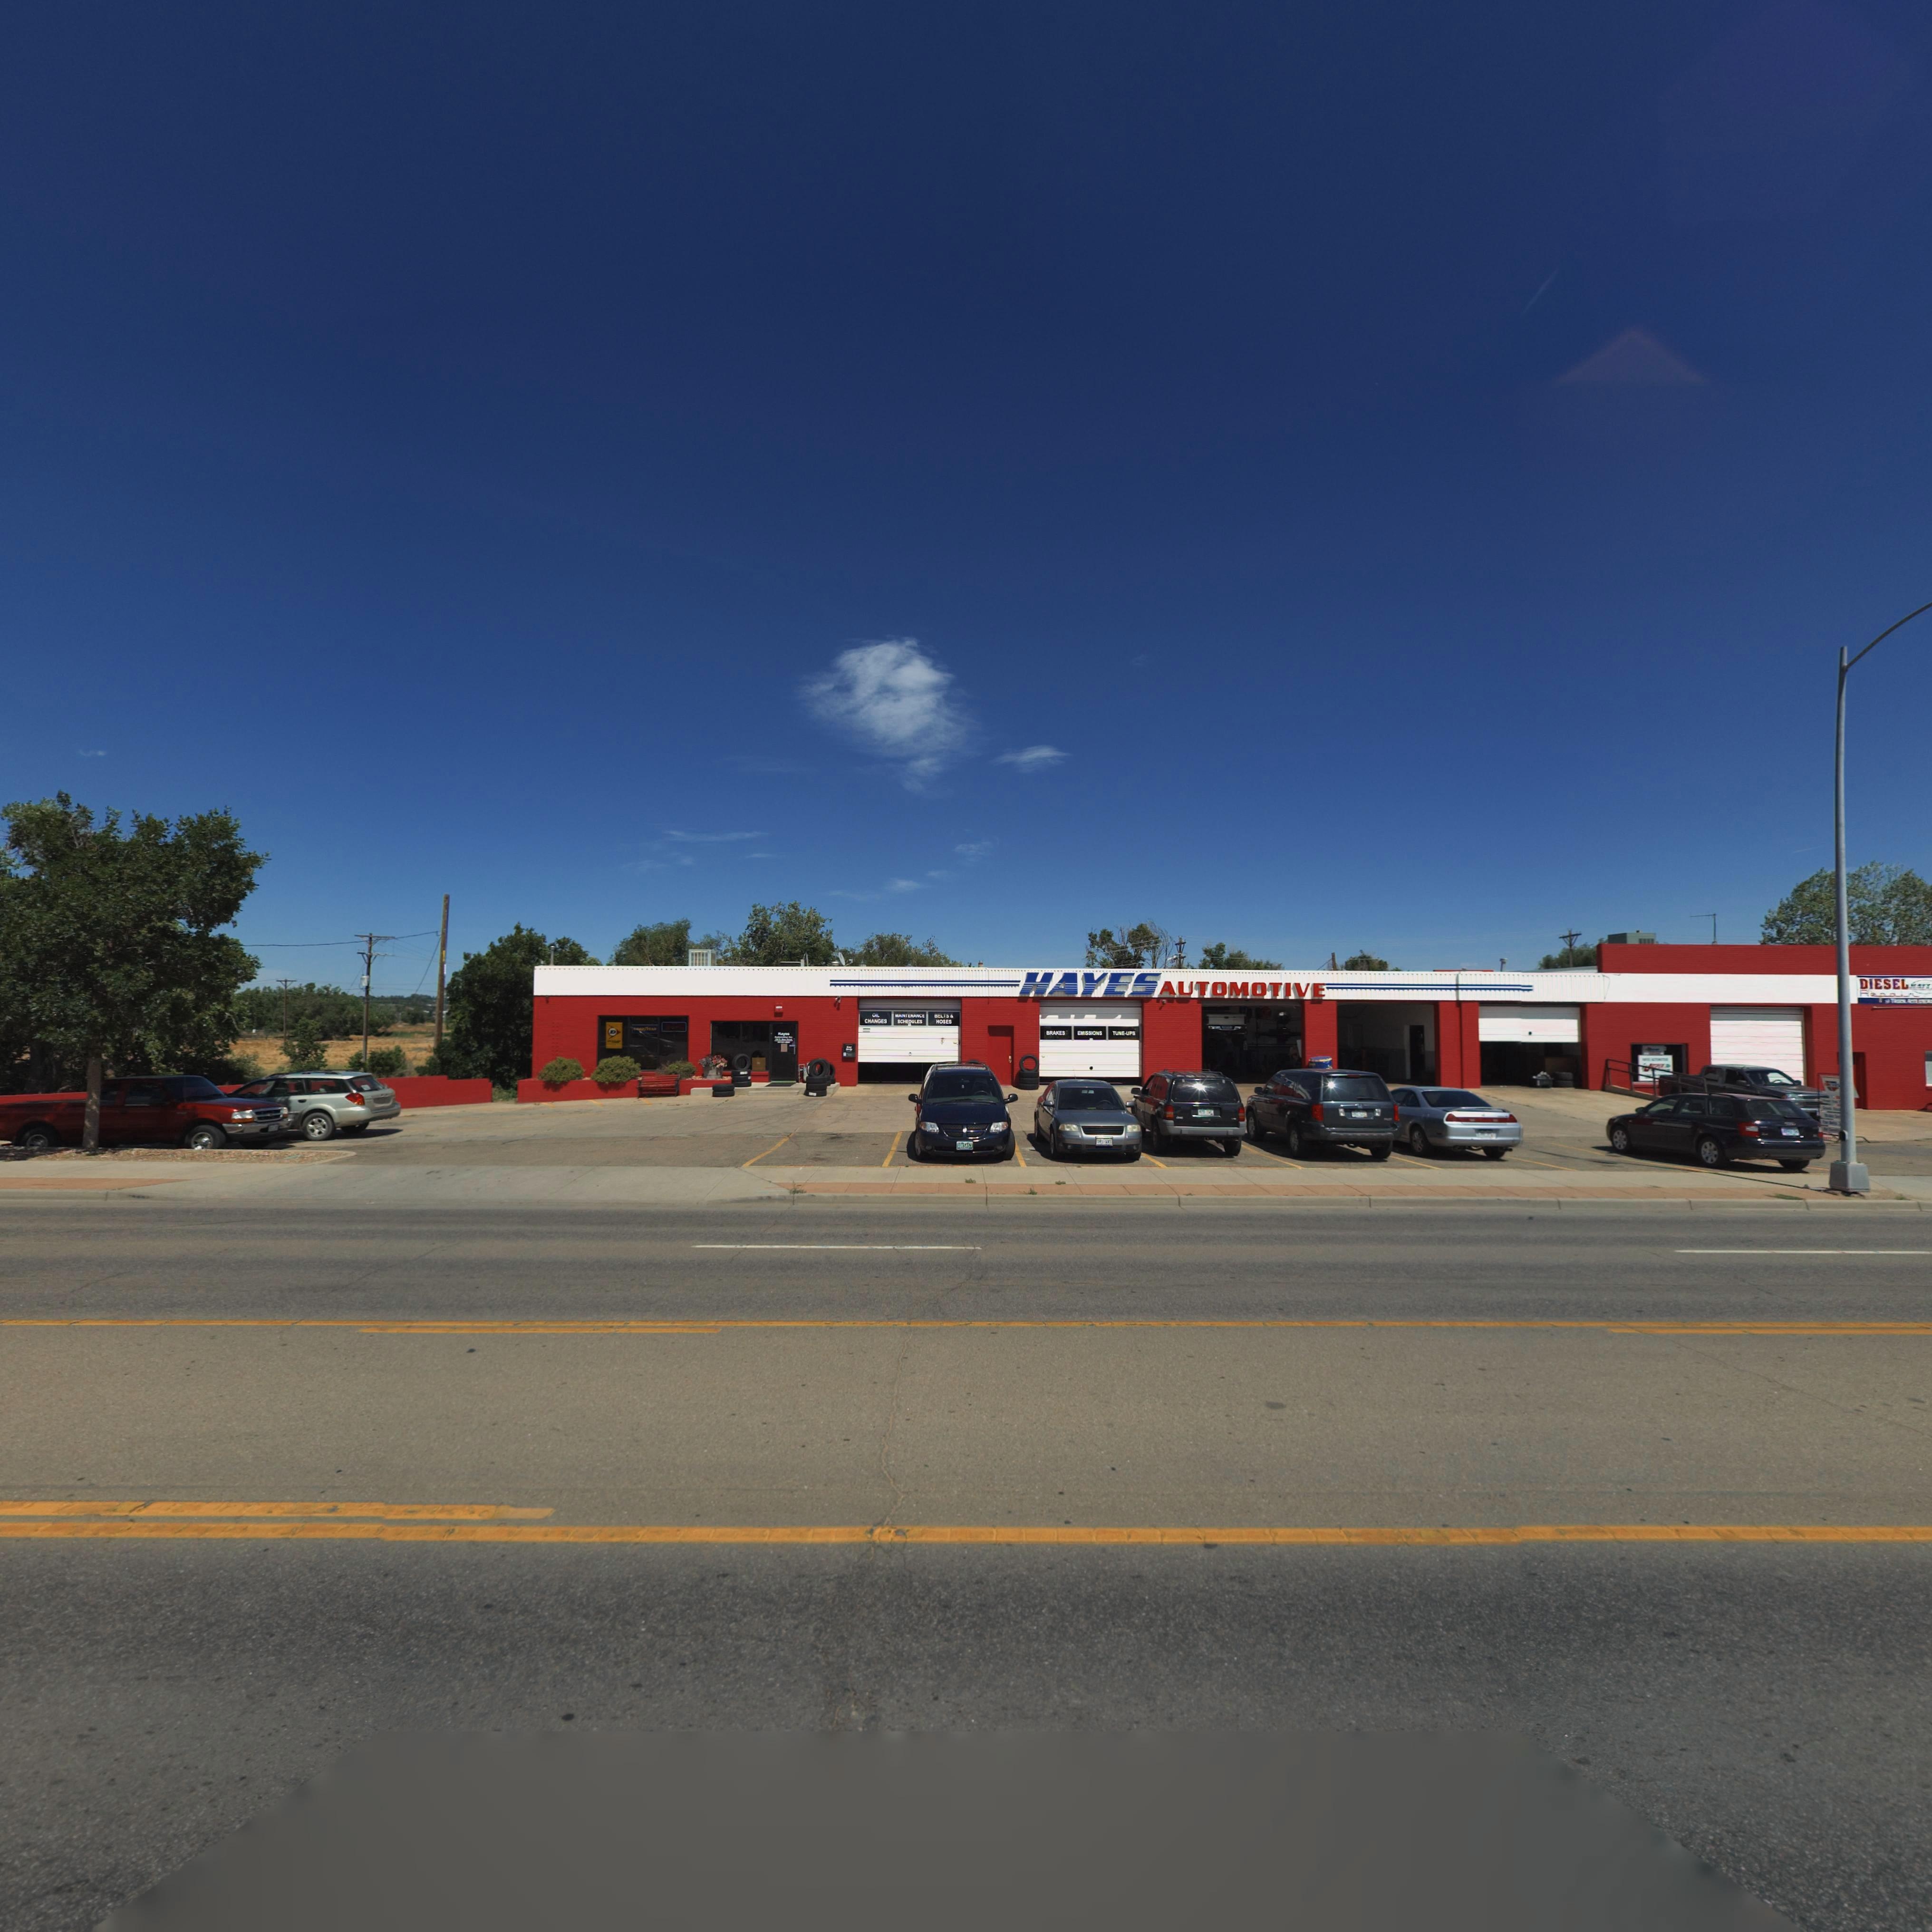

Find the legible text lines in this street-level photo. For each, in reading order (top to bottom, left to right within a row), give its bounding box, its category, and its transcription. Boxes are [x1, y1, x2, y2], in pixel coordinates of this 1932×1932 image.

[1018, 971, 1325, 996] BusinessName: HAYES AUTOMOTIVE